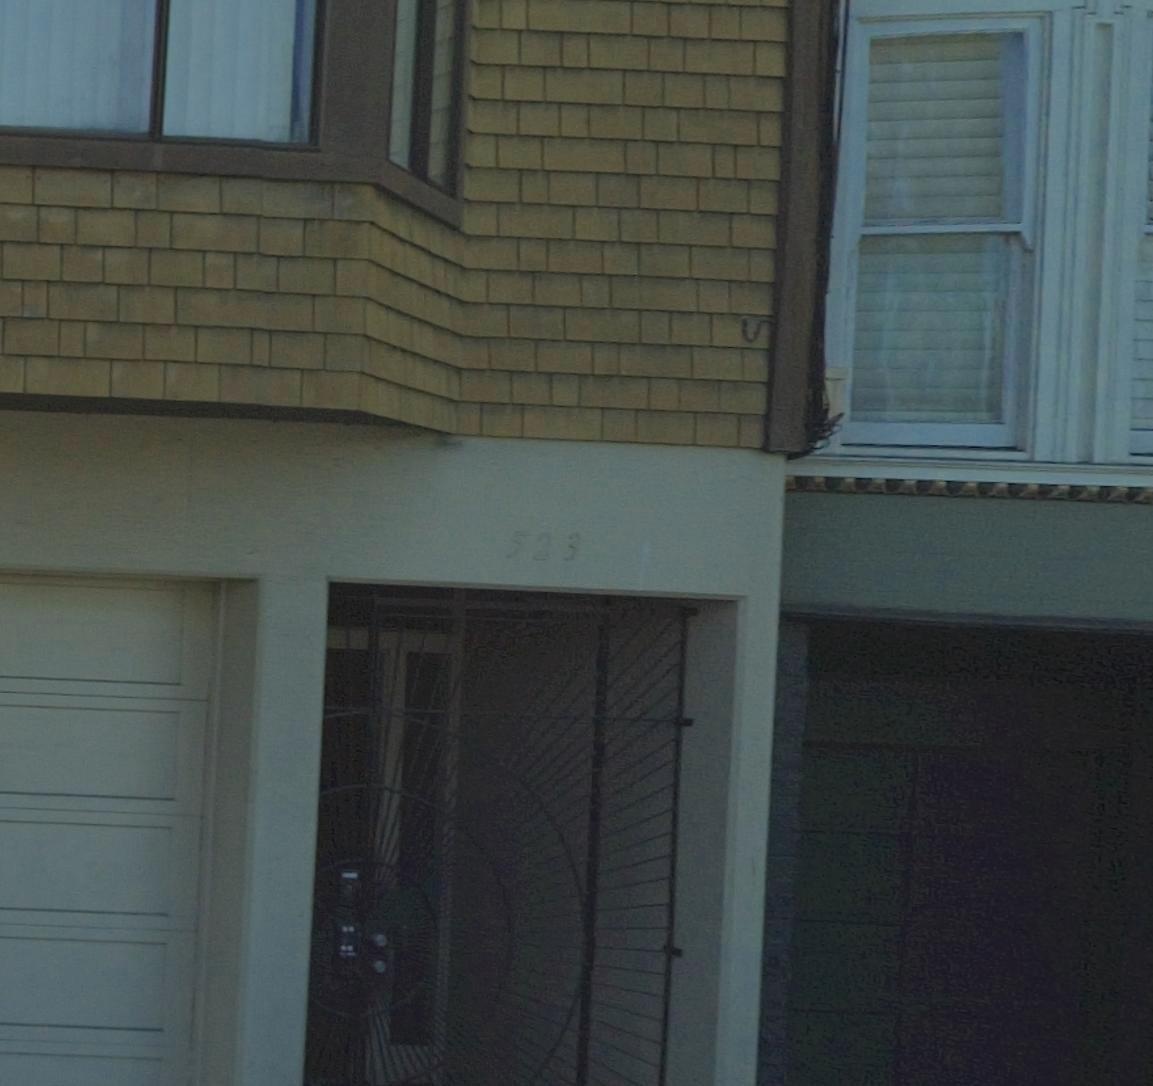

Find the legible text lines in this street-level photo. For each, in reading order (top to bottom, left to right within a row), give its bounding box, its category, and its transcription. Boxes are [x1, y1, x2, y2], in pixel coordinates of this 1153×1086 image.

[504, 527, 581, 563] StreetNumber: 523